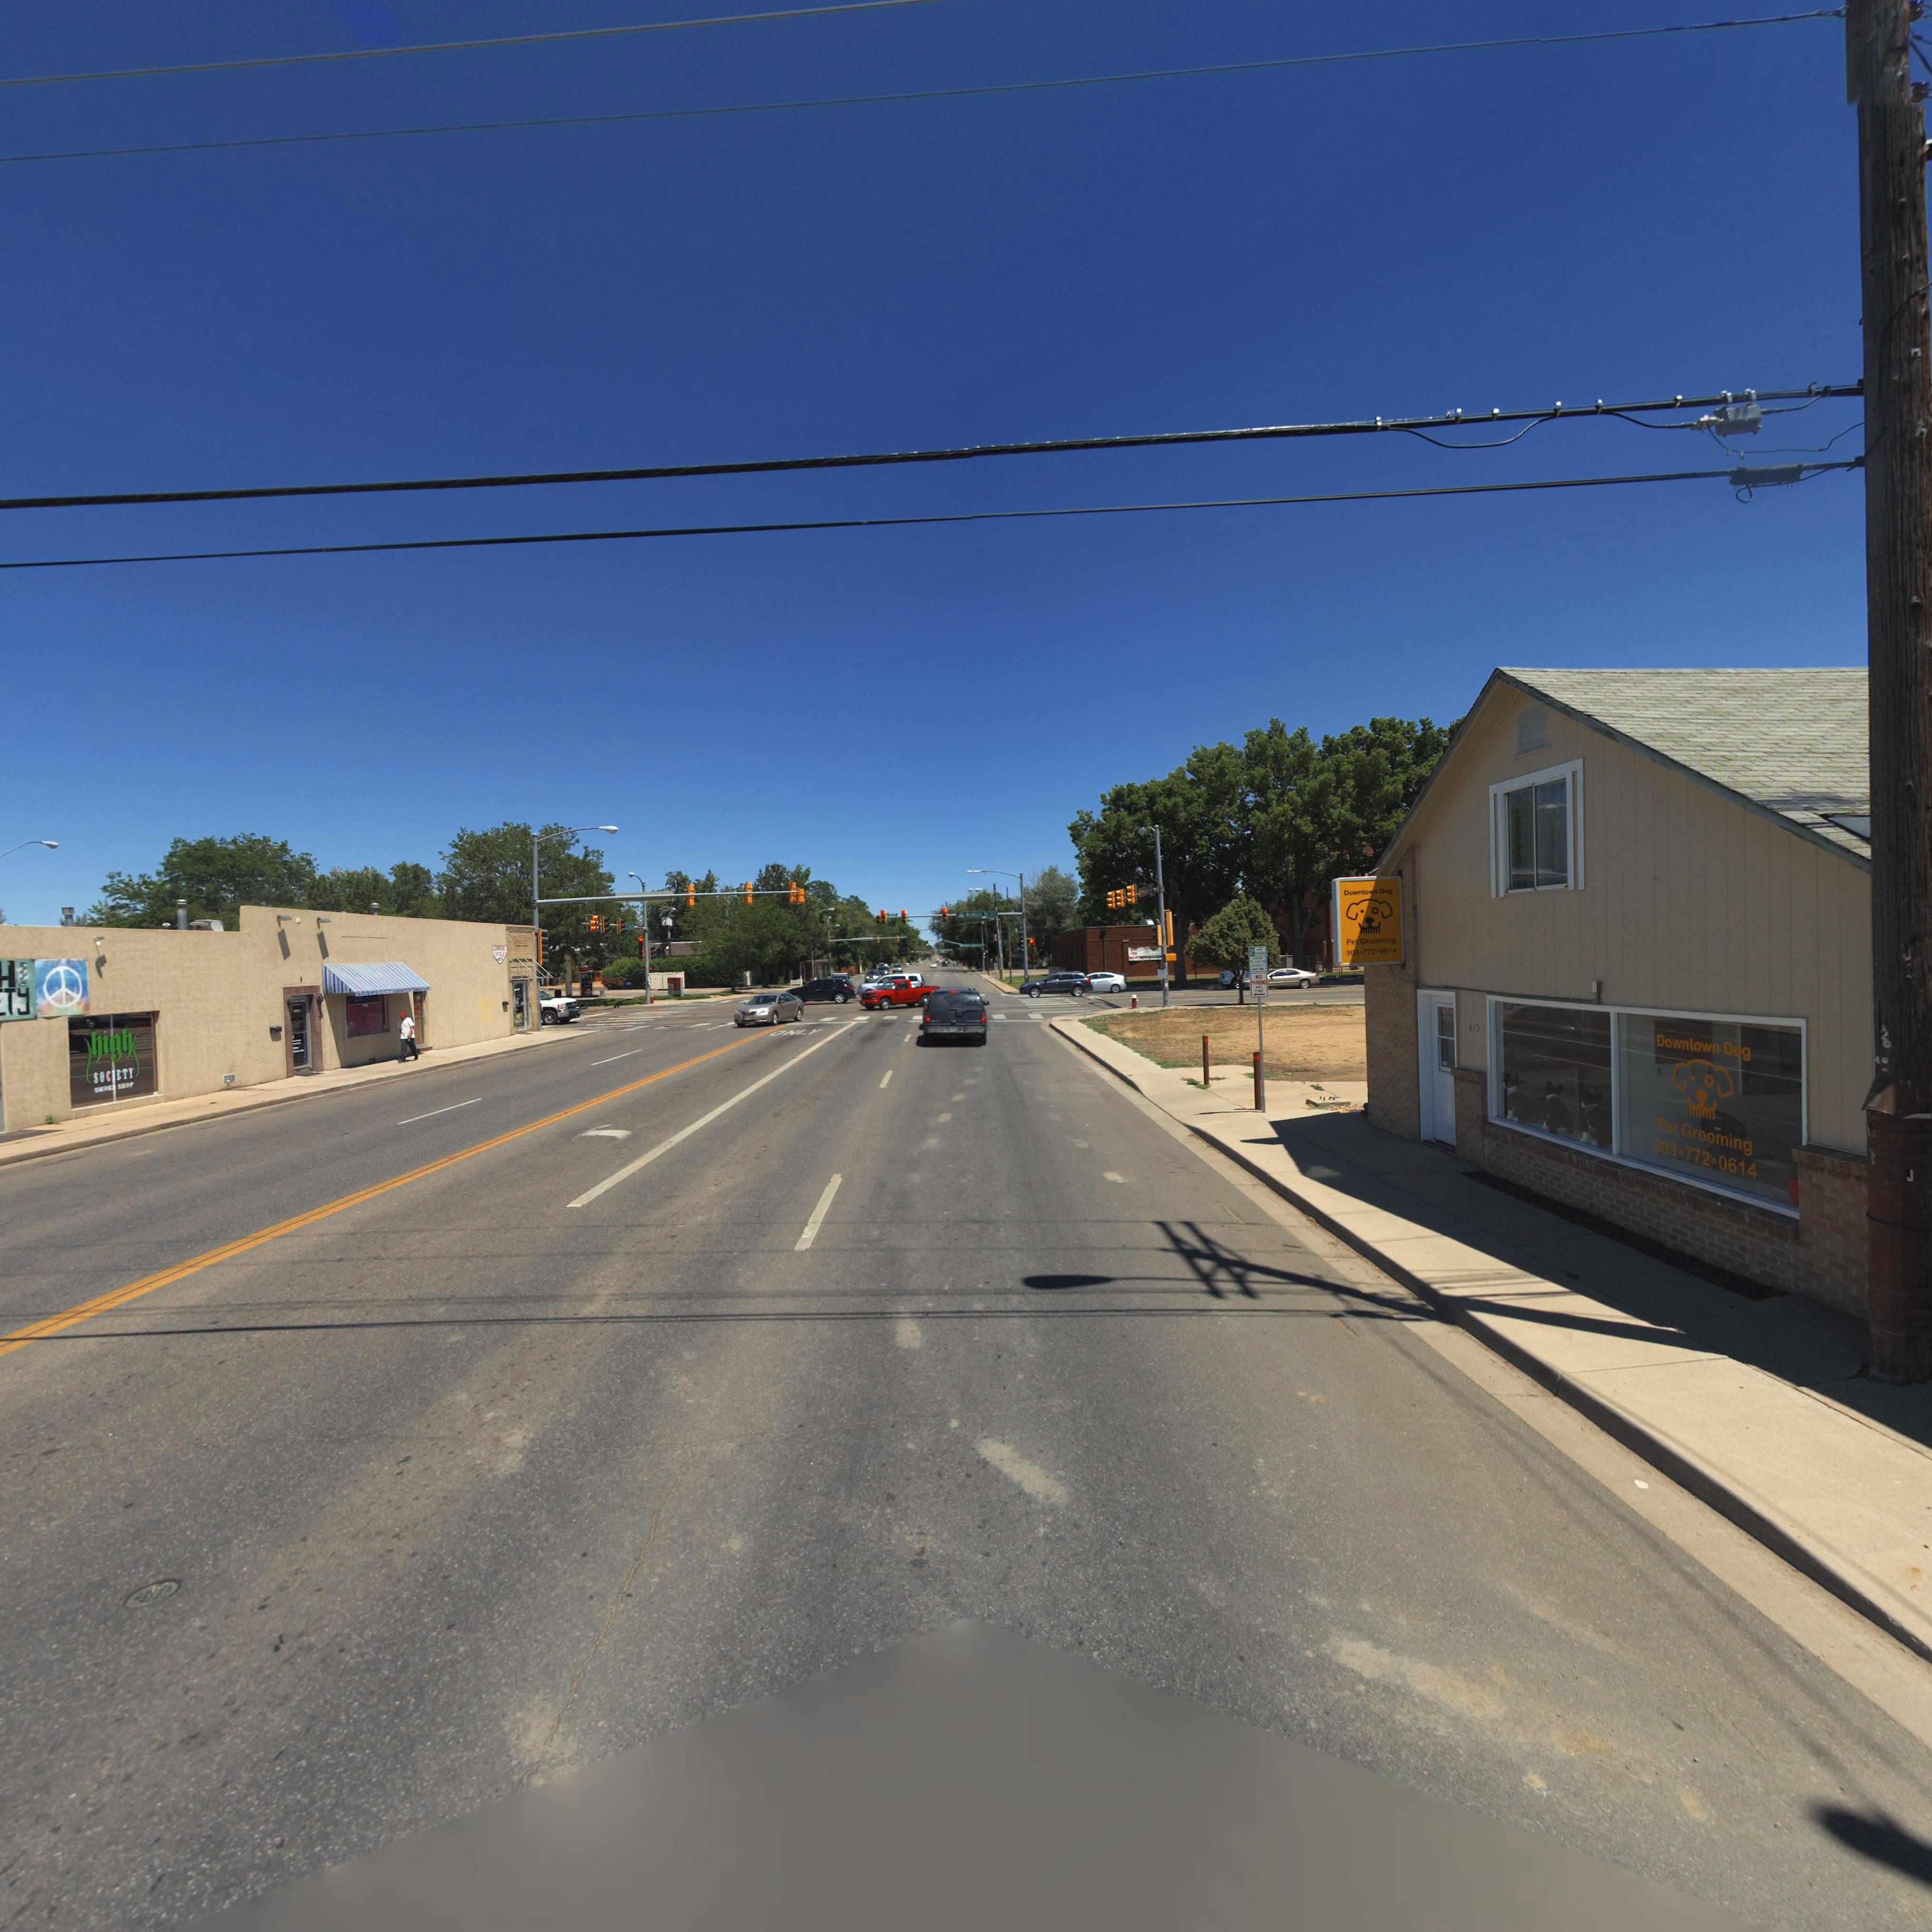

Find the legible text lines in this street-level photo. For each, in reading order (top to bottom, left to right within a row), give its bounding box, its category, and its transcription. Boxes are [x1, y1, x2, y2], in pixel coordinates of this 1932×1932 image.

[1343, 888, 1392, 896] BusinessName: Downtown Dog
[965, 911, 989, 917] StreetName: MaMain St
[1346, 937, 1396, 945] BusinessName: Pet Grooming
[492, 945, 505, 951] BusinessName: L******A
[493, 951, 507, 956] BusinessName: CATOL***
[2, 987, 30, 1015] BusinessName: TY
[1468, 1022, 1480, 1032] StreetNumber: 615
[90, 1027, 133, 1062] BusinessName: high
[1656, 1033, 1751, 1062] BusinessName: Downtown Dog
[93, 1066, 134, 1084] BusinessName: SOC*ETY
[1657, 1116, 1753, 1157] BusinessName: Pet Grooming